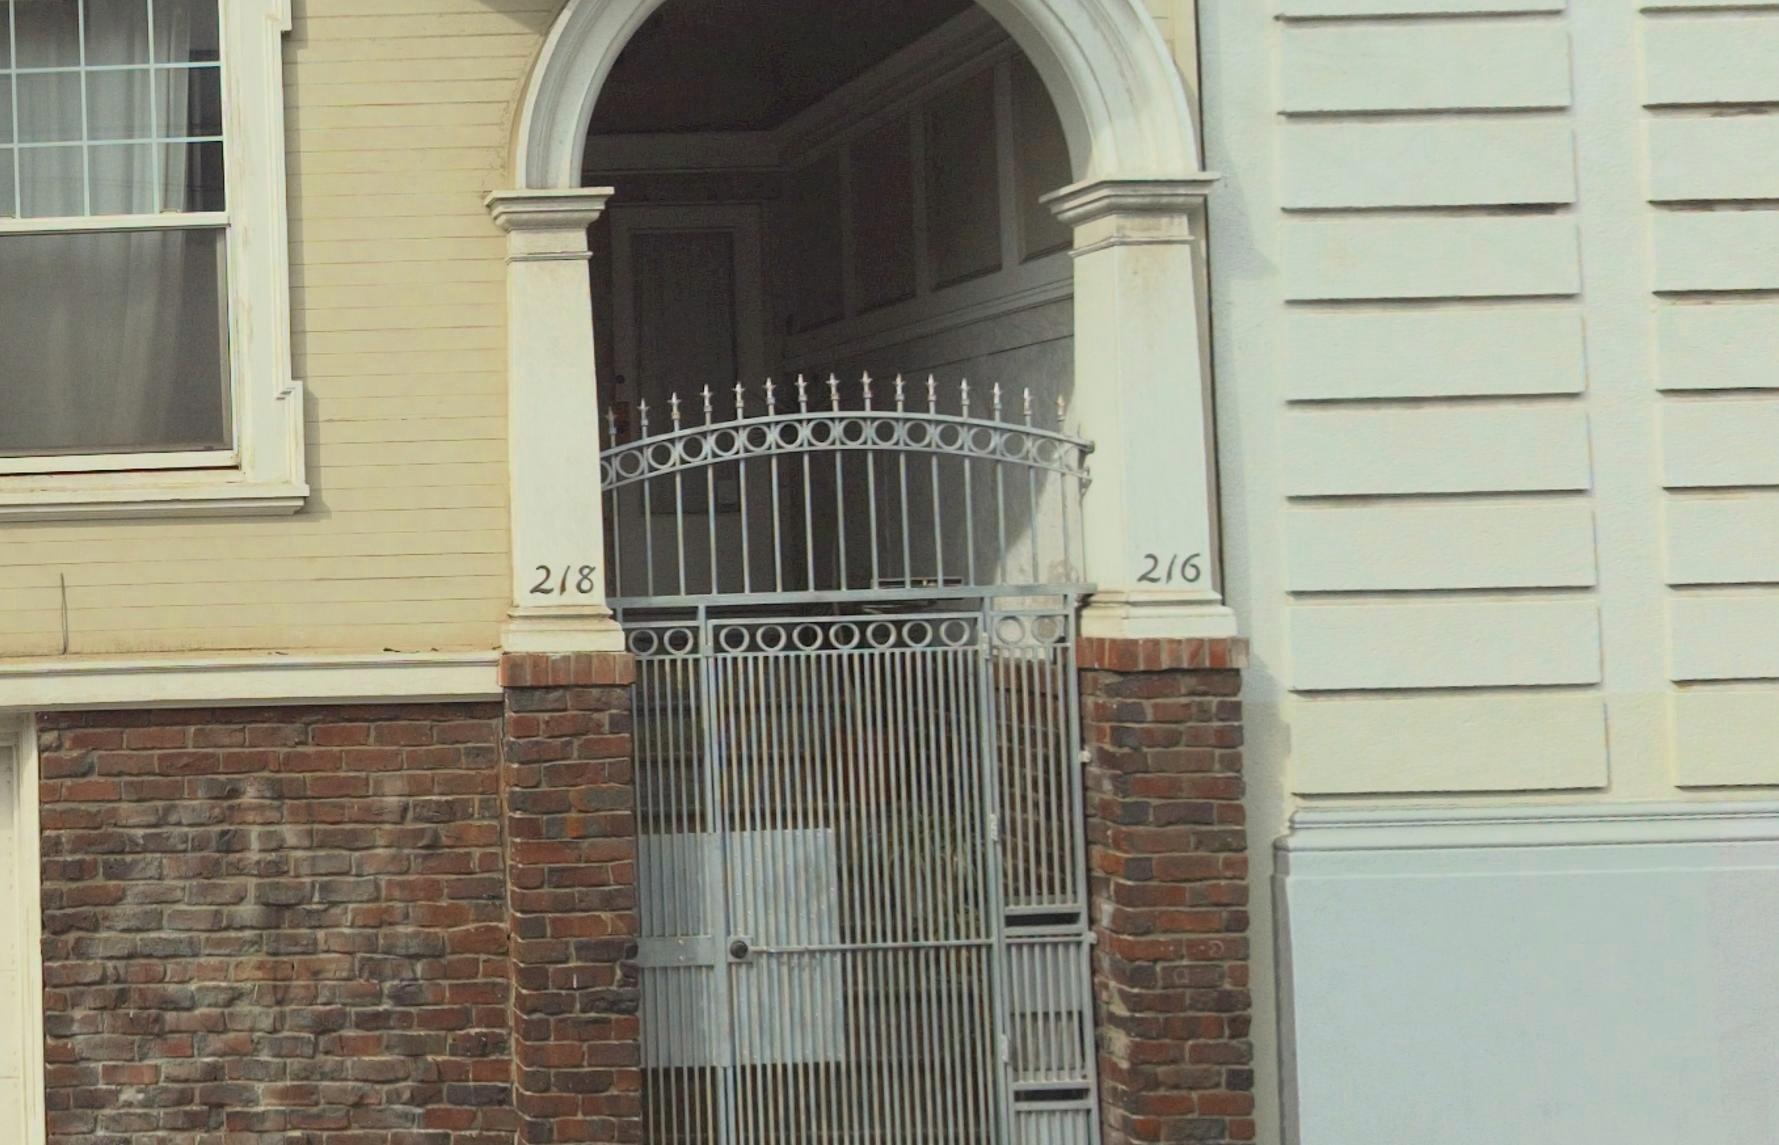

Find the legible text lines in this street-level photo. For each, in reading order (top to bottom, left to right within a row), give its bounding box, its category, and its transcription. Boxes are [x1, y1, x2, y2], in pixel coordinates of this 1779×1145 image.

[526, 563, 598, 597] StreetNumber: 218
[1133, 550, 1204, 586] StreetNumber: 26